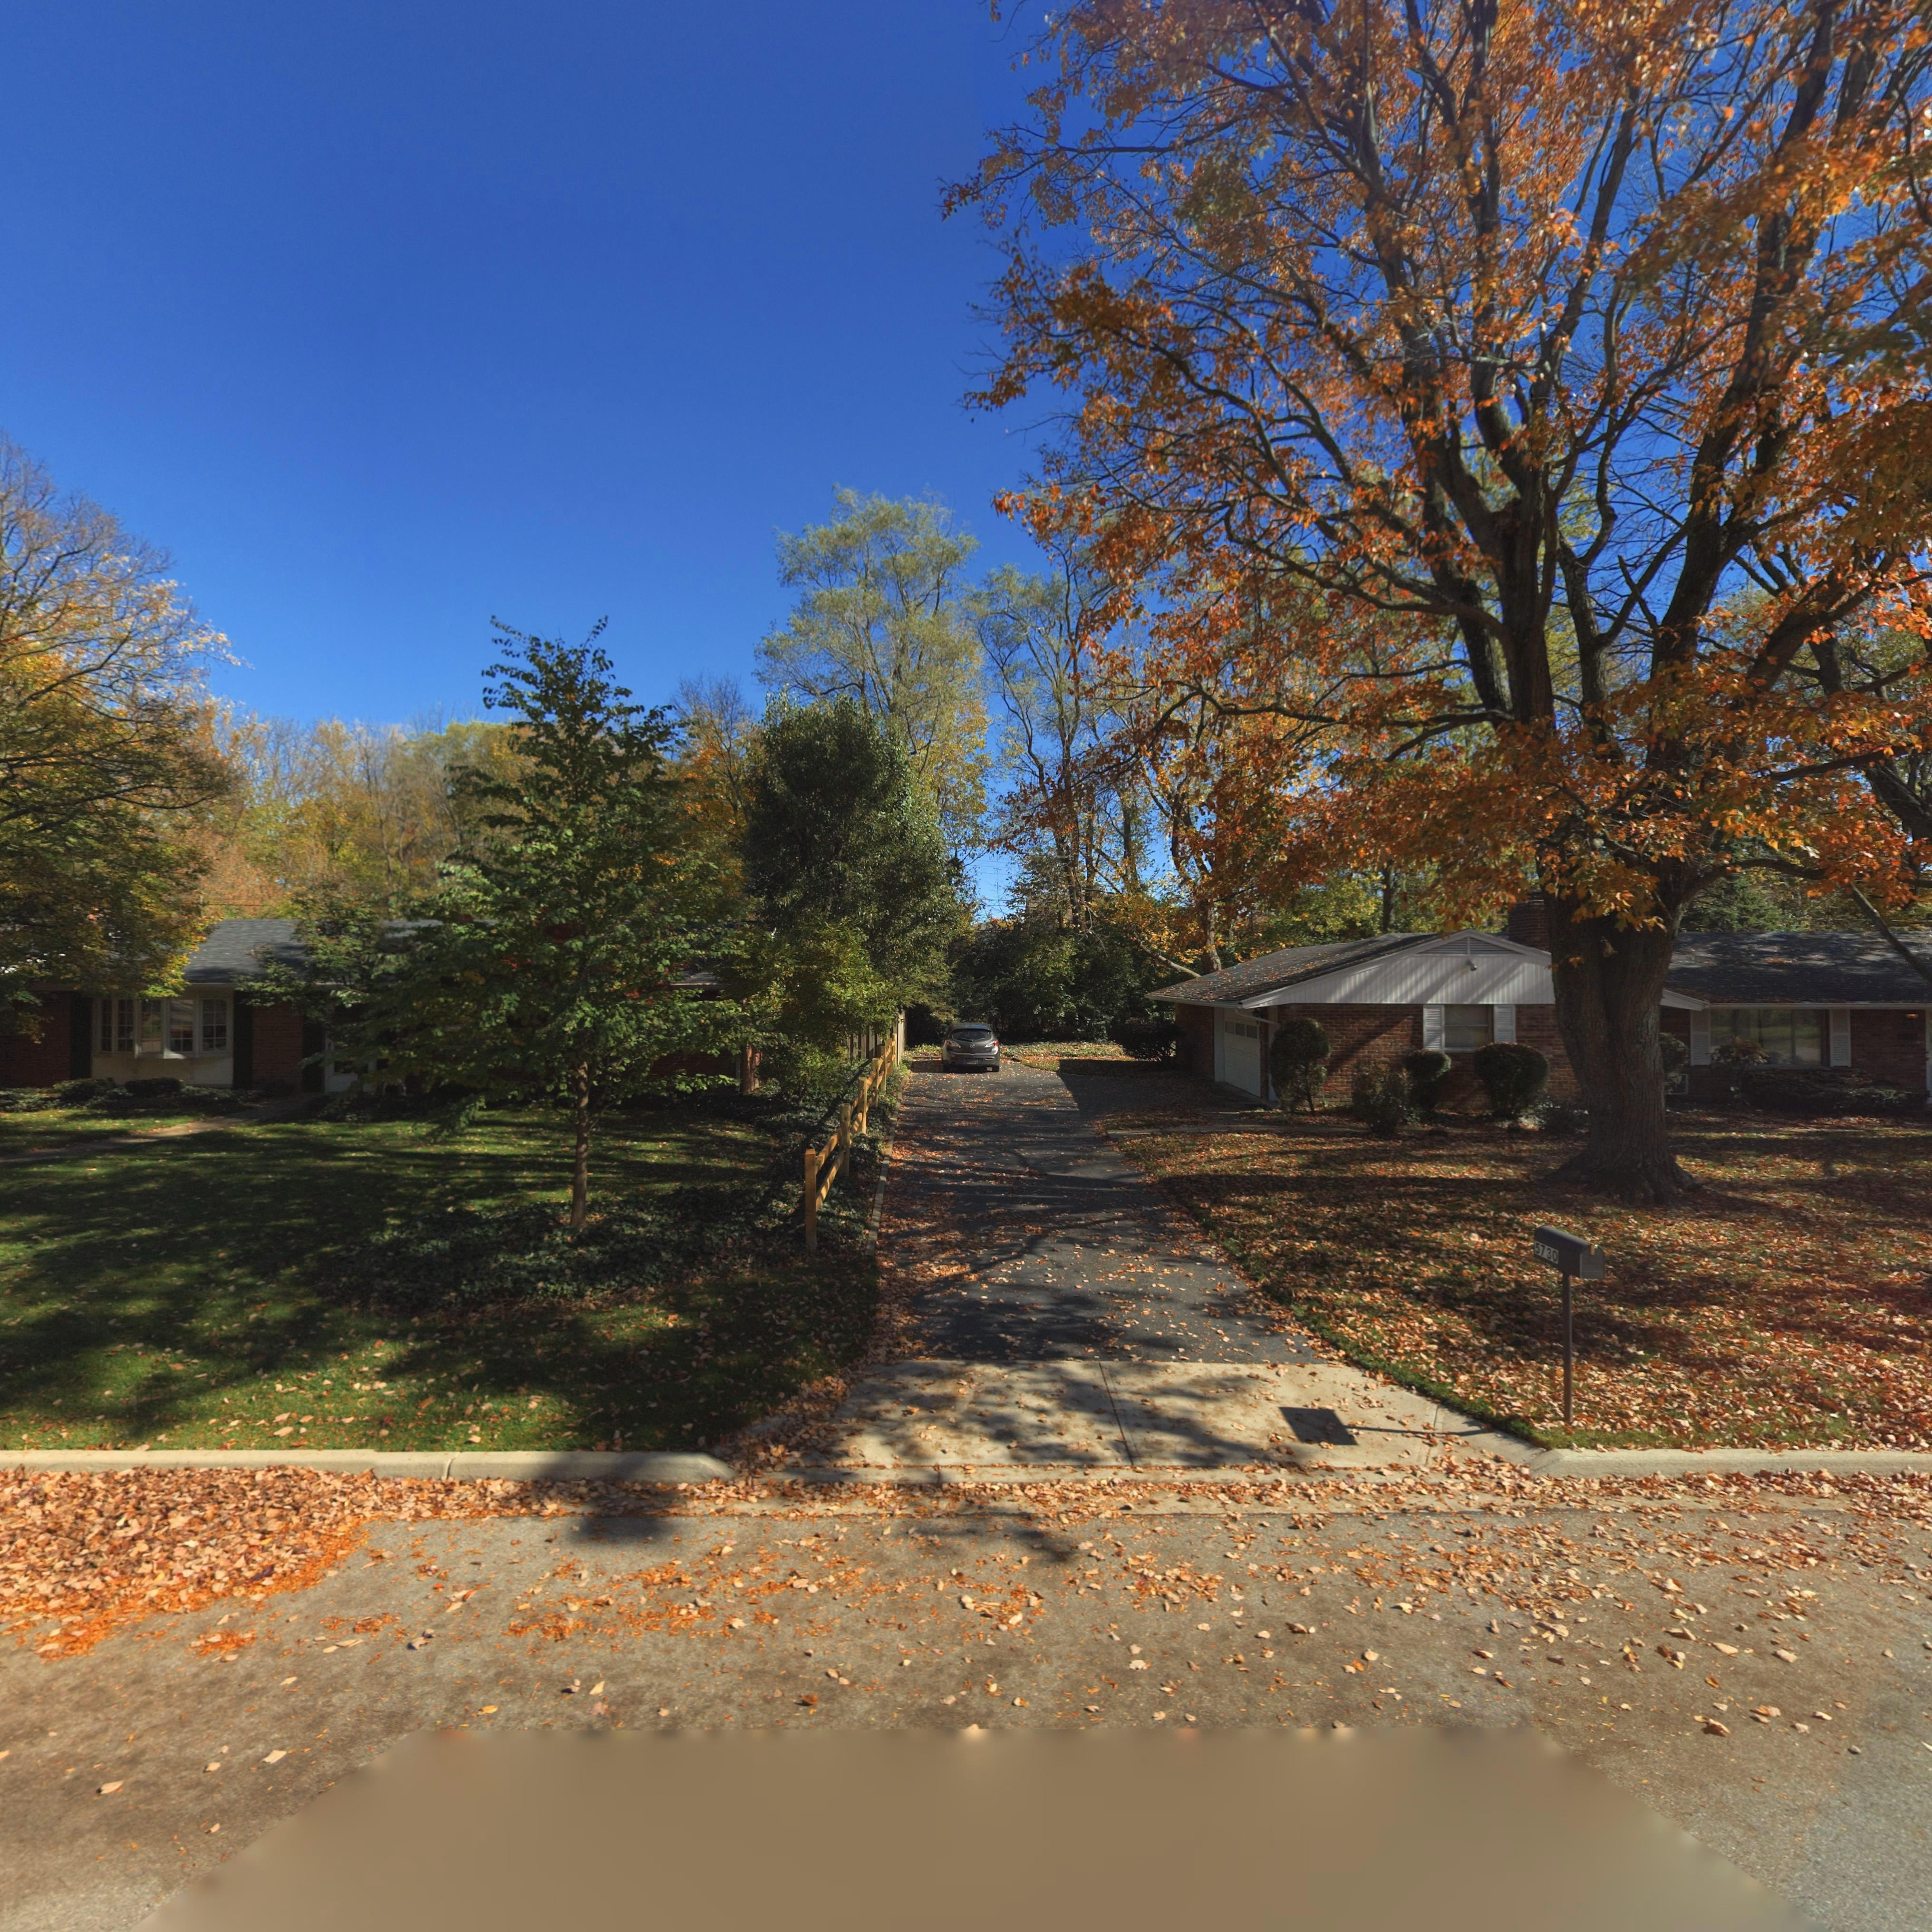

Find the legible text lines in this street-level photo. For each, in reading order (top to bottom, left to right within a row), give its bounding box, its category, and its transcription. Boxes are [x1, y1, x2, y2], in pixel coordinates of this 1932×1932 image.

[1535, 1241, 1558, 1263] StreetNumber: 5730